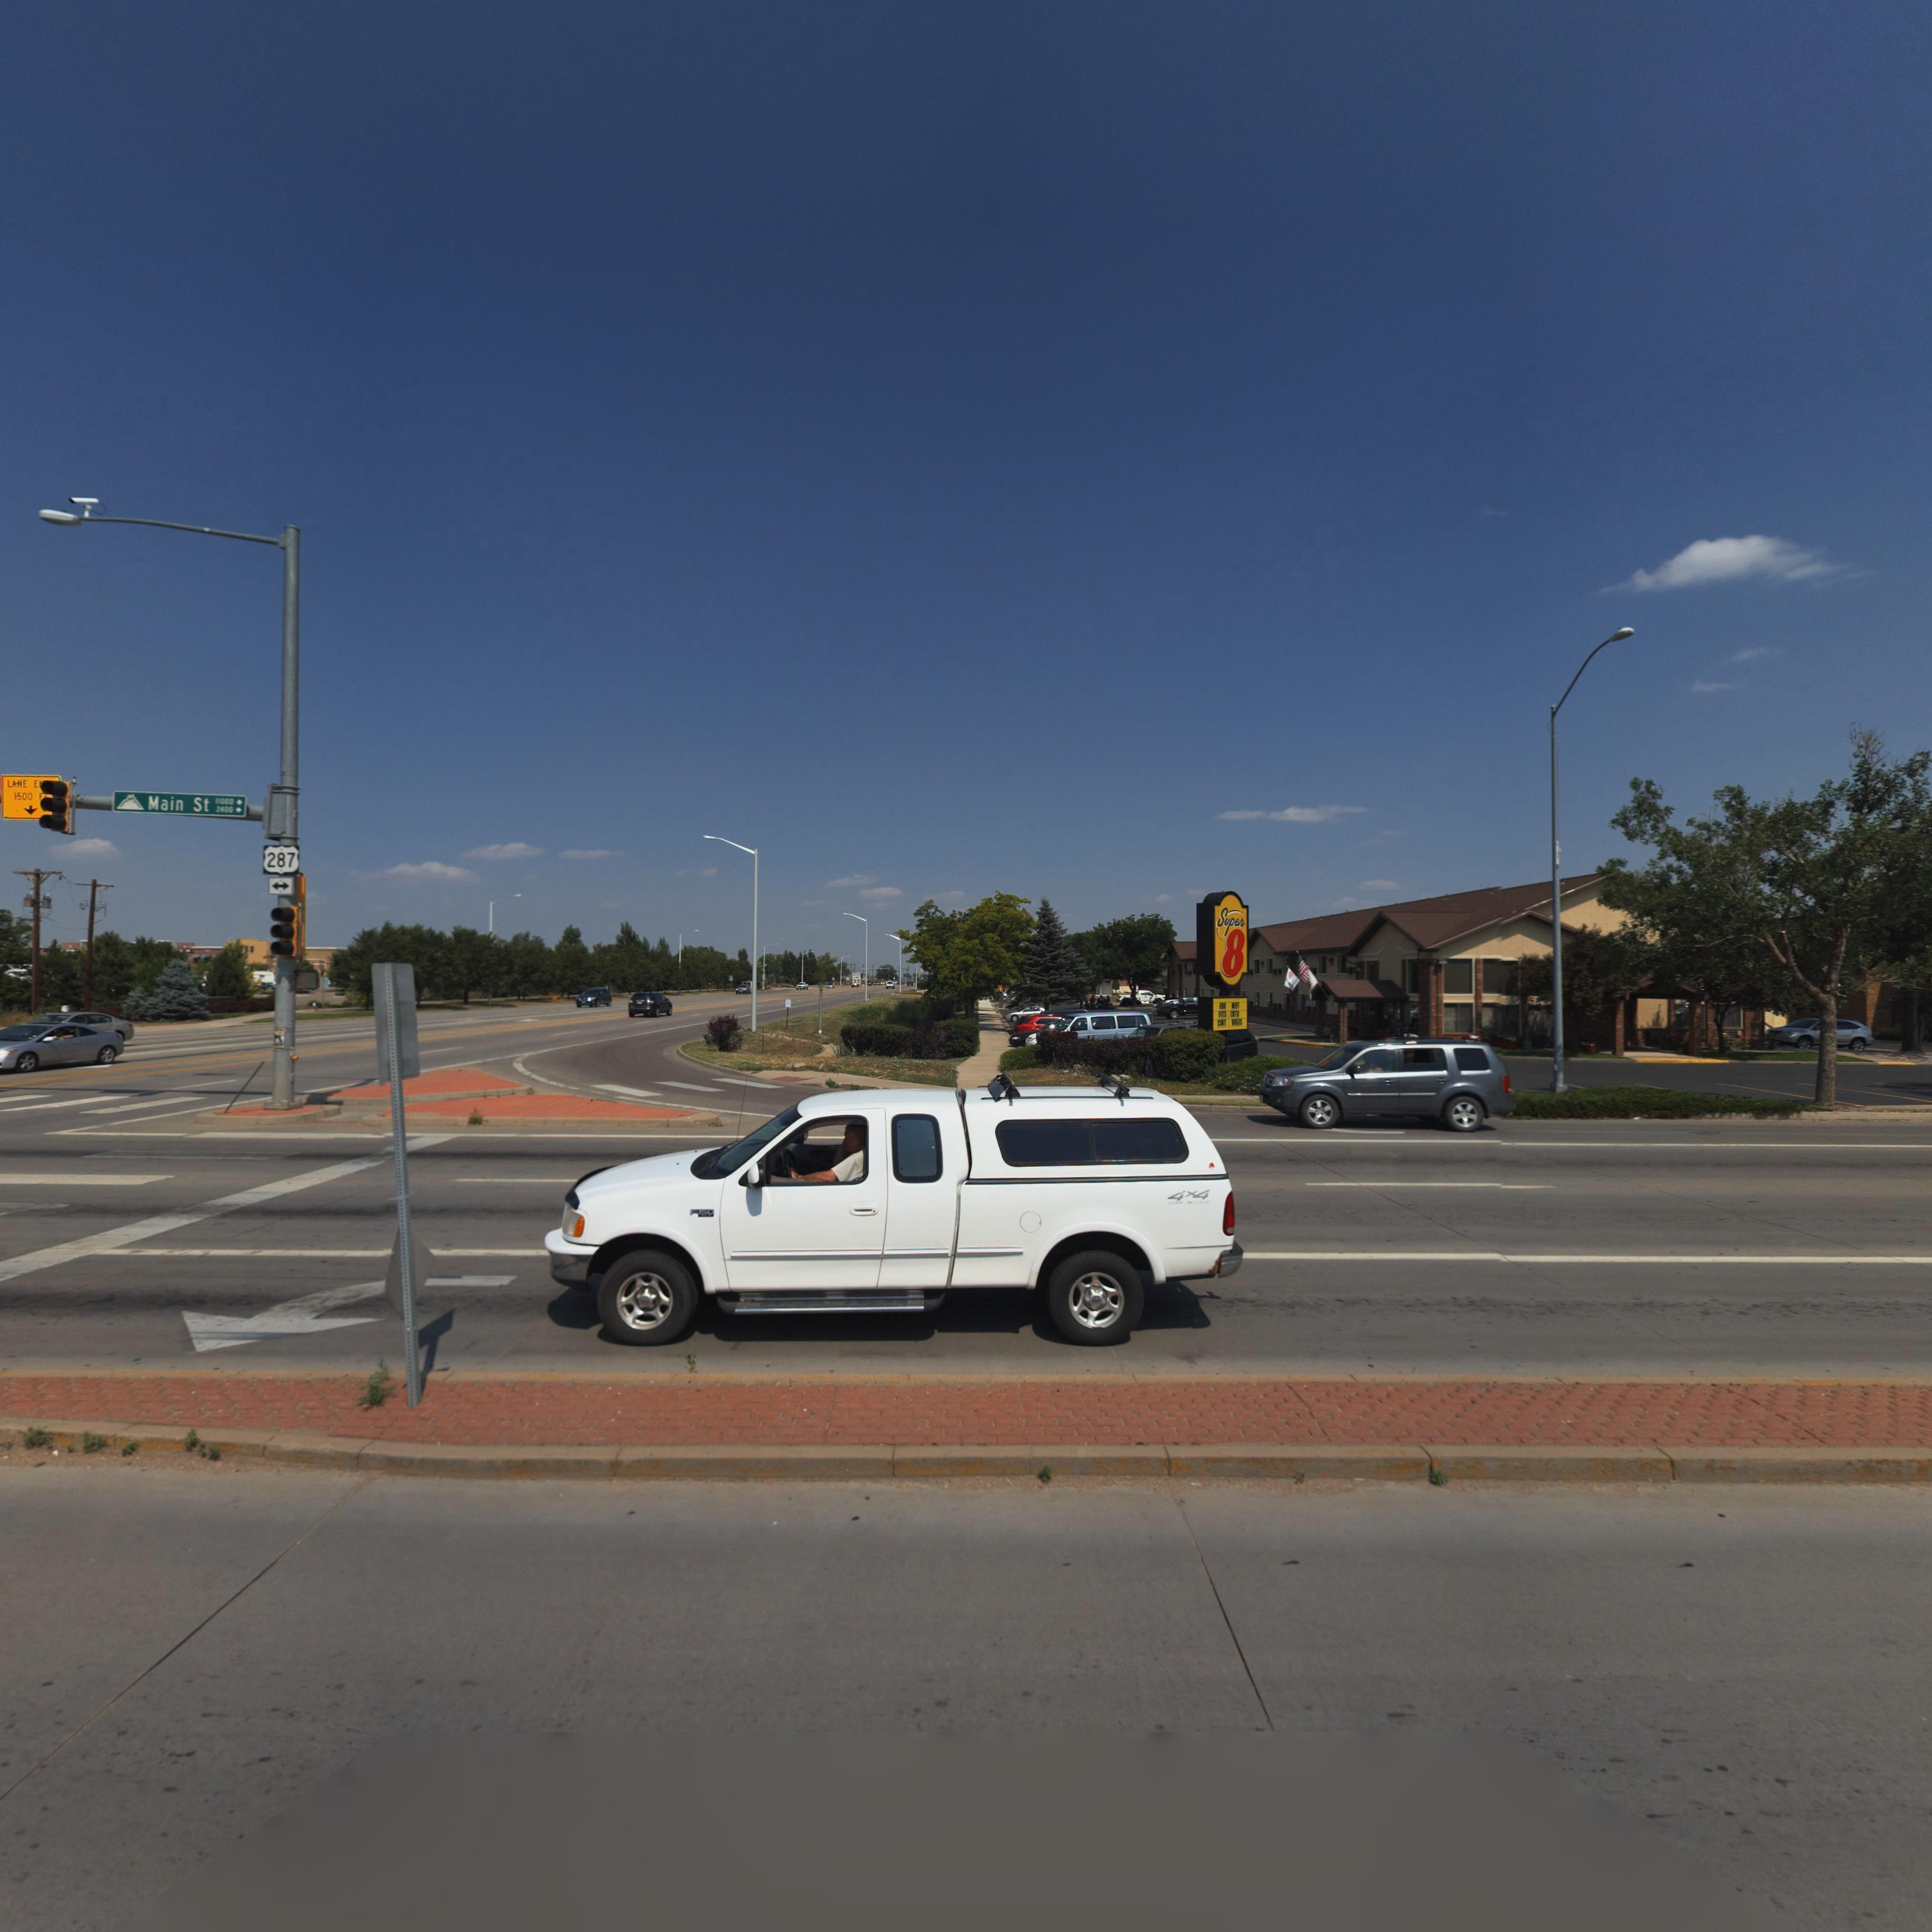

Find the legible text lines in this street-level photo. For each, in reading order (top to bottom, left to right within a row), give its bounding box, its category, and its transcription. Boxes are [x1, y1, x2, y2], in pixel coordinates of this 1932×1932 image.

[148, 795, 210, 812] StreetName: Main St
[215, 798, 234, 804] StreetNumberRange: 11000
[214, 805, 242, 813] StreetNumberRange: 2400->
[1216, 906, 1246, 938] BusinessName: Super
[1220, 929, 1246, 977] BusinessName: 8